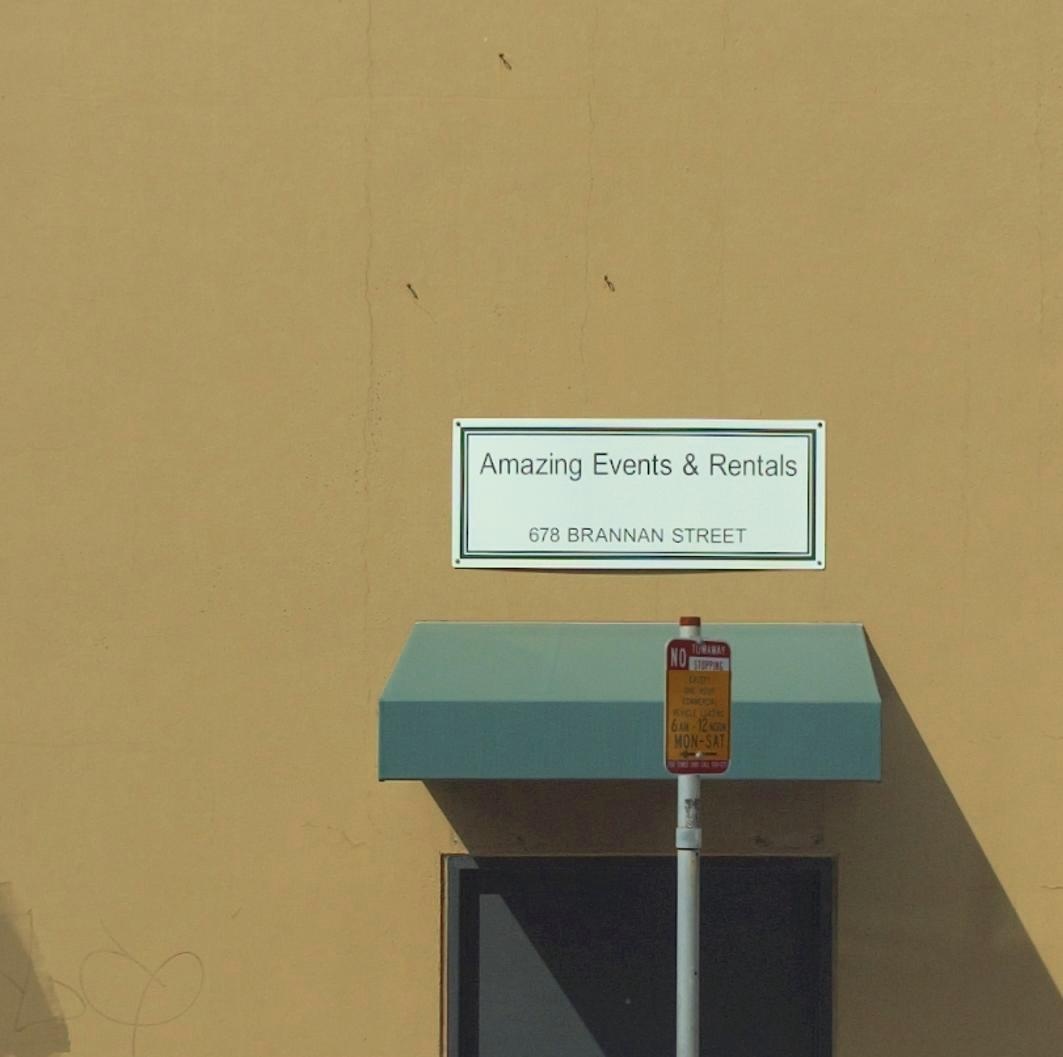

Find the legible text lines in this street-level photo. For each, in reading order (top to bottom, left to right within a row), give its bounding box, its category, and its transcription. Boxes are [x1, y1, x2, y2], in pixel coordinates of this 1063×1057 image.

[473, 447, 801, 485] BusinessName: Amazing Events & Rentals
[524, 523, 564, 548] StreetNumber: 678
[562, 521, 751, 550] StreetName: BRANNAN STREET
[666, 643, 690, 672] None: NO
[689, 640, 727, 657] None: T**WAY
[692, 658, 726, 675] None: STOPPING
[668, 715, 729, 735] None: 6AM -12 *OON
[671, 732, 728, 751] None: MON-SAT